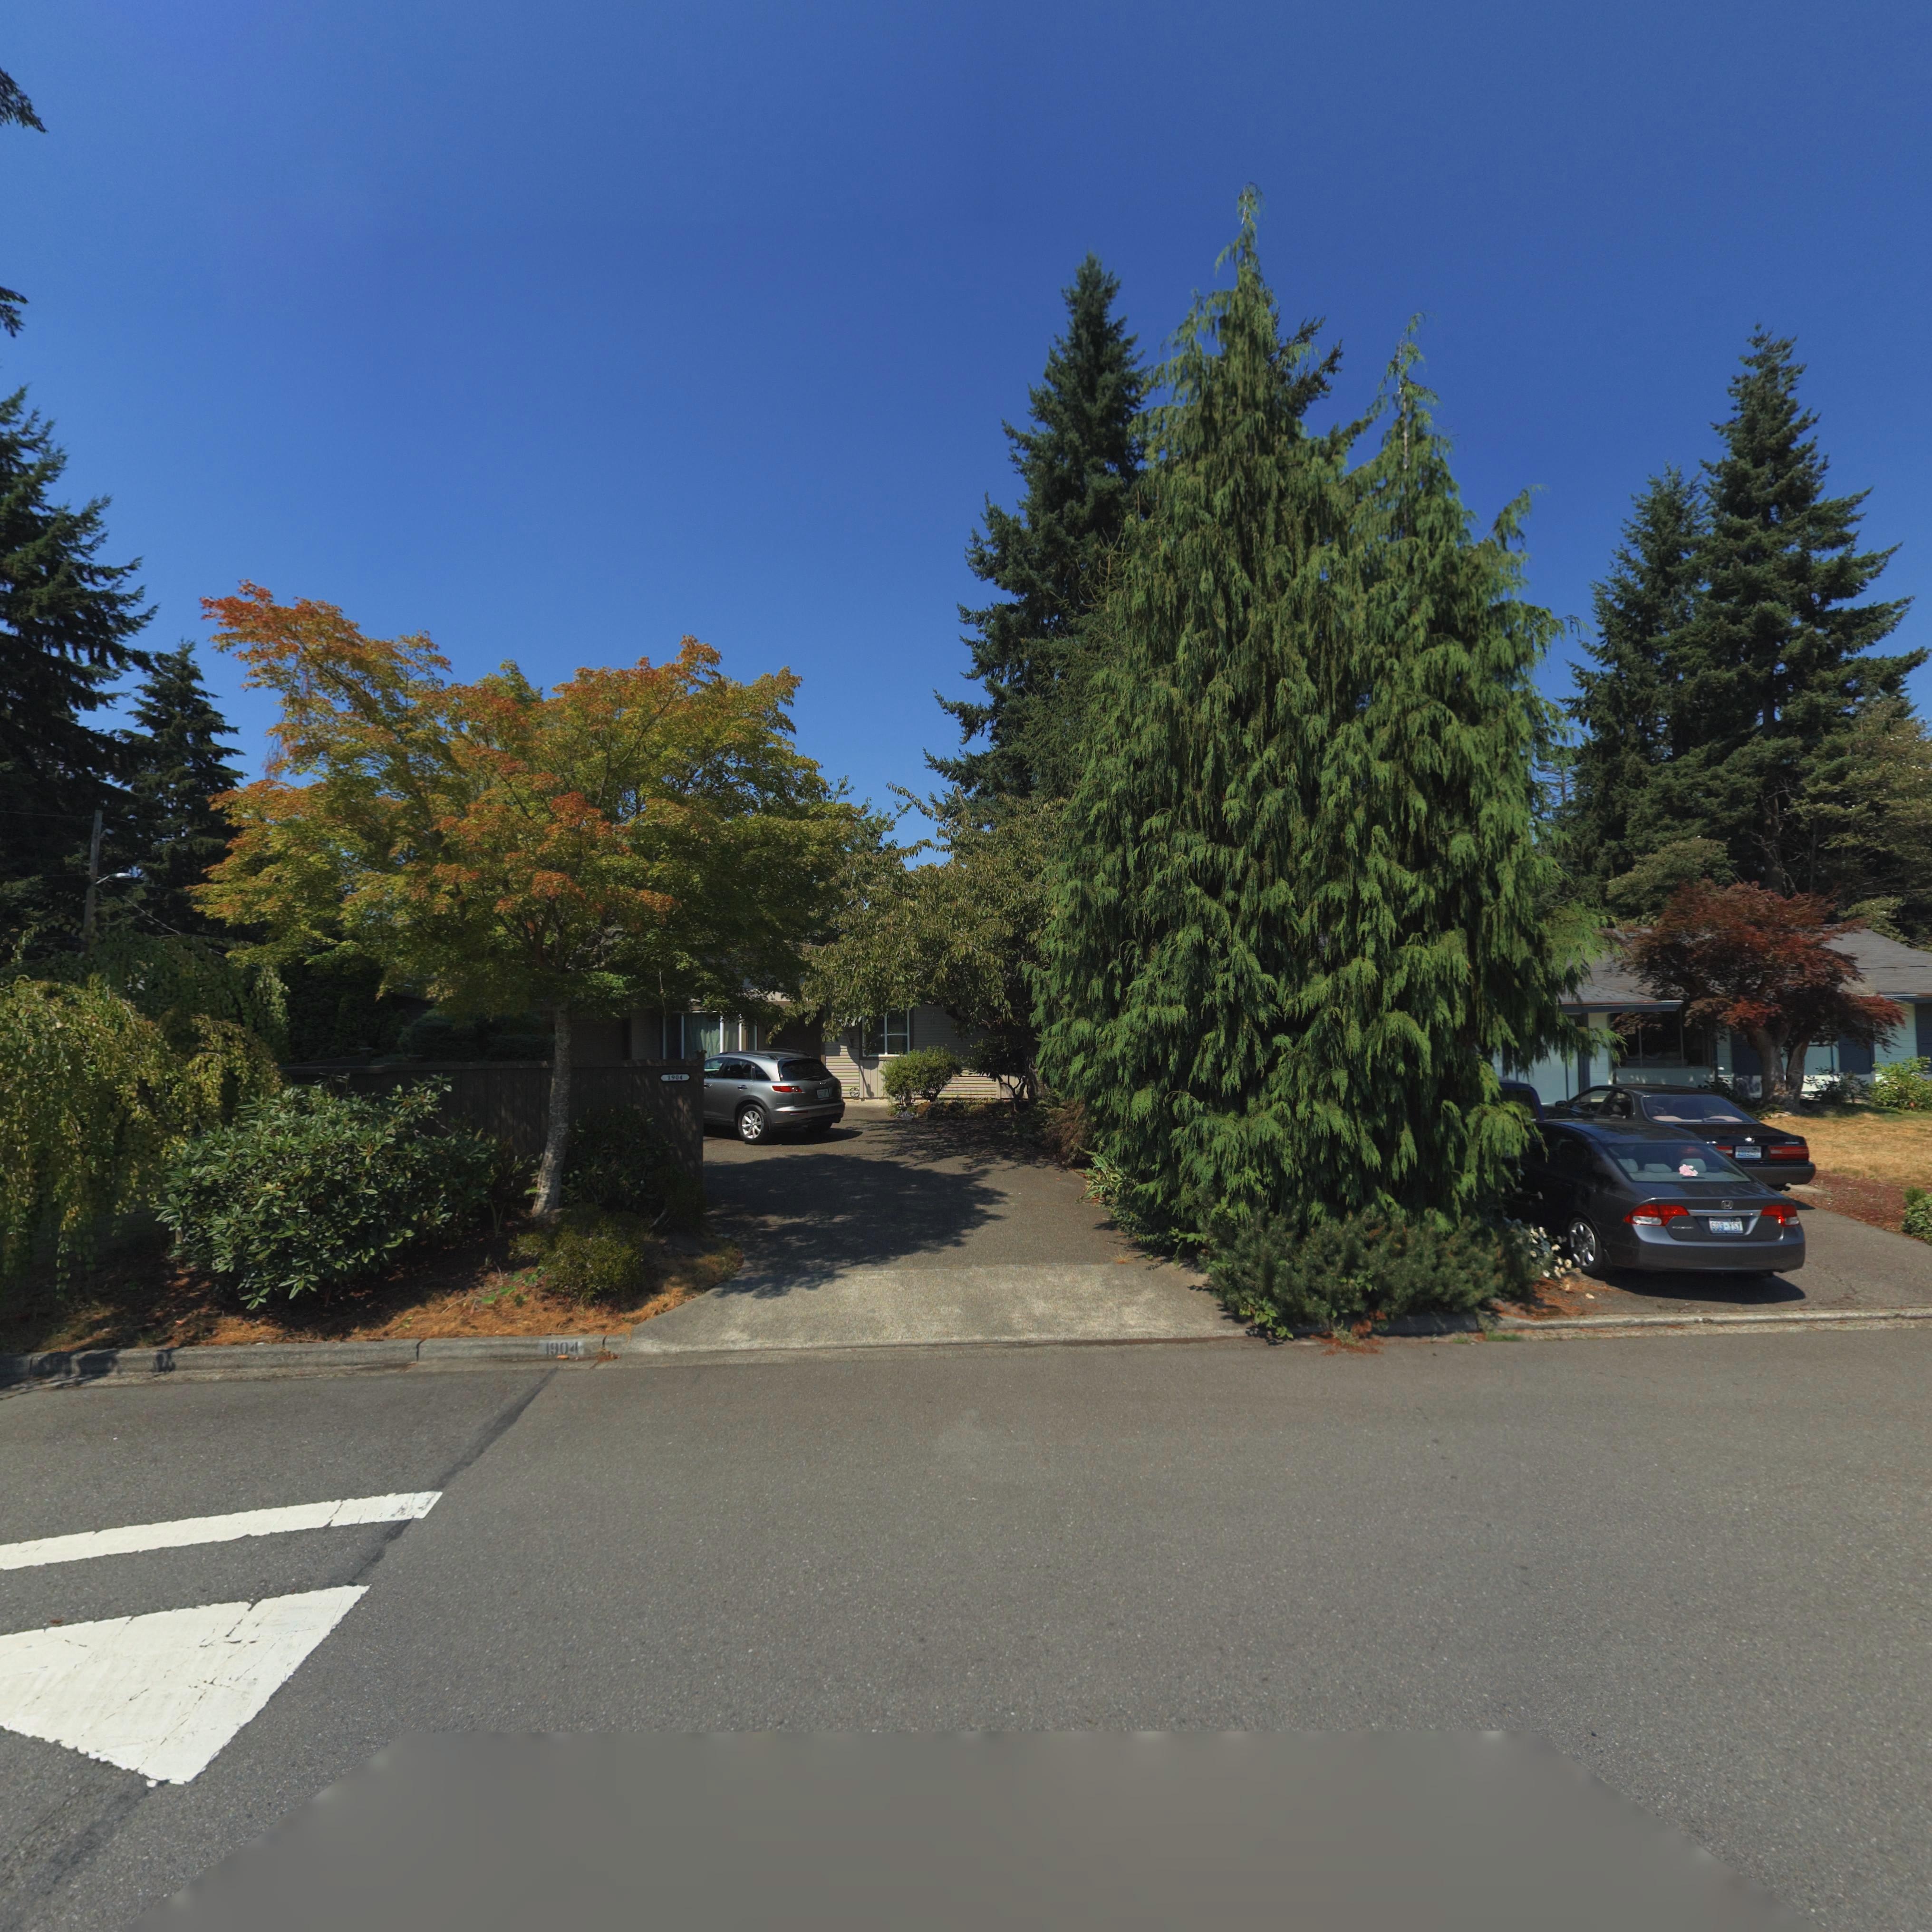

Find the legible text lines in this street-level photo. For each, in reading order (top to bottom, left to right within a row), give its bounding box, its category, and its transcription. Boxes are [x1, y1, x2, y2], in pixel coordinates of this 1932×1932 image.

[667, 1075, 683, 1080] StreetNumber: 1904